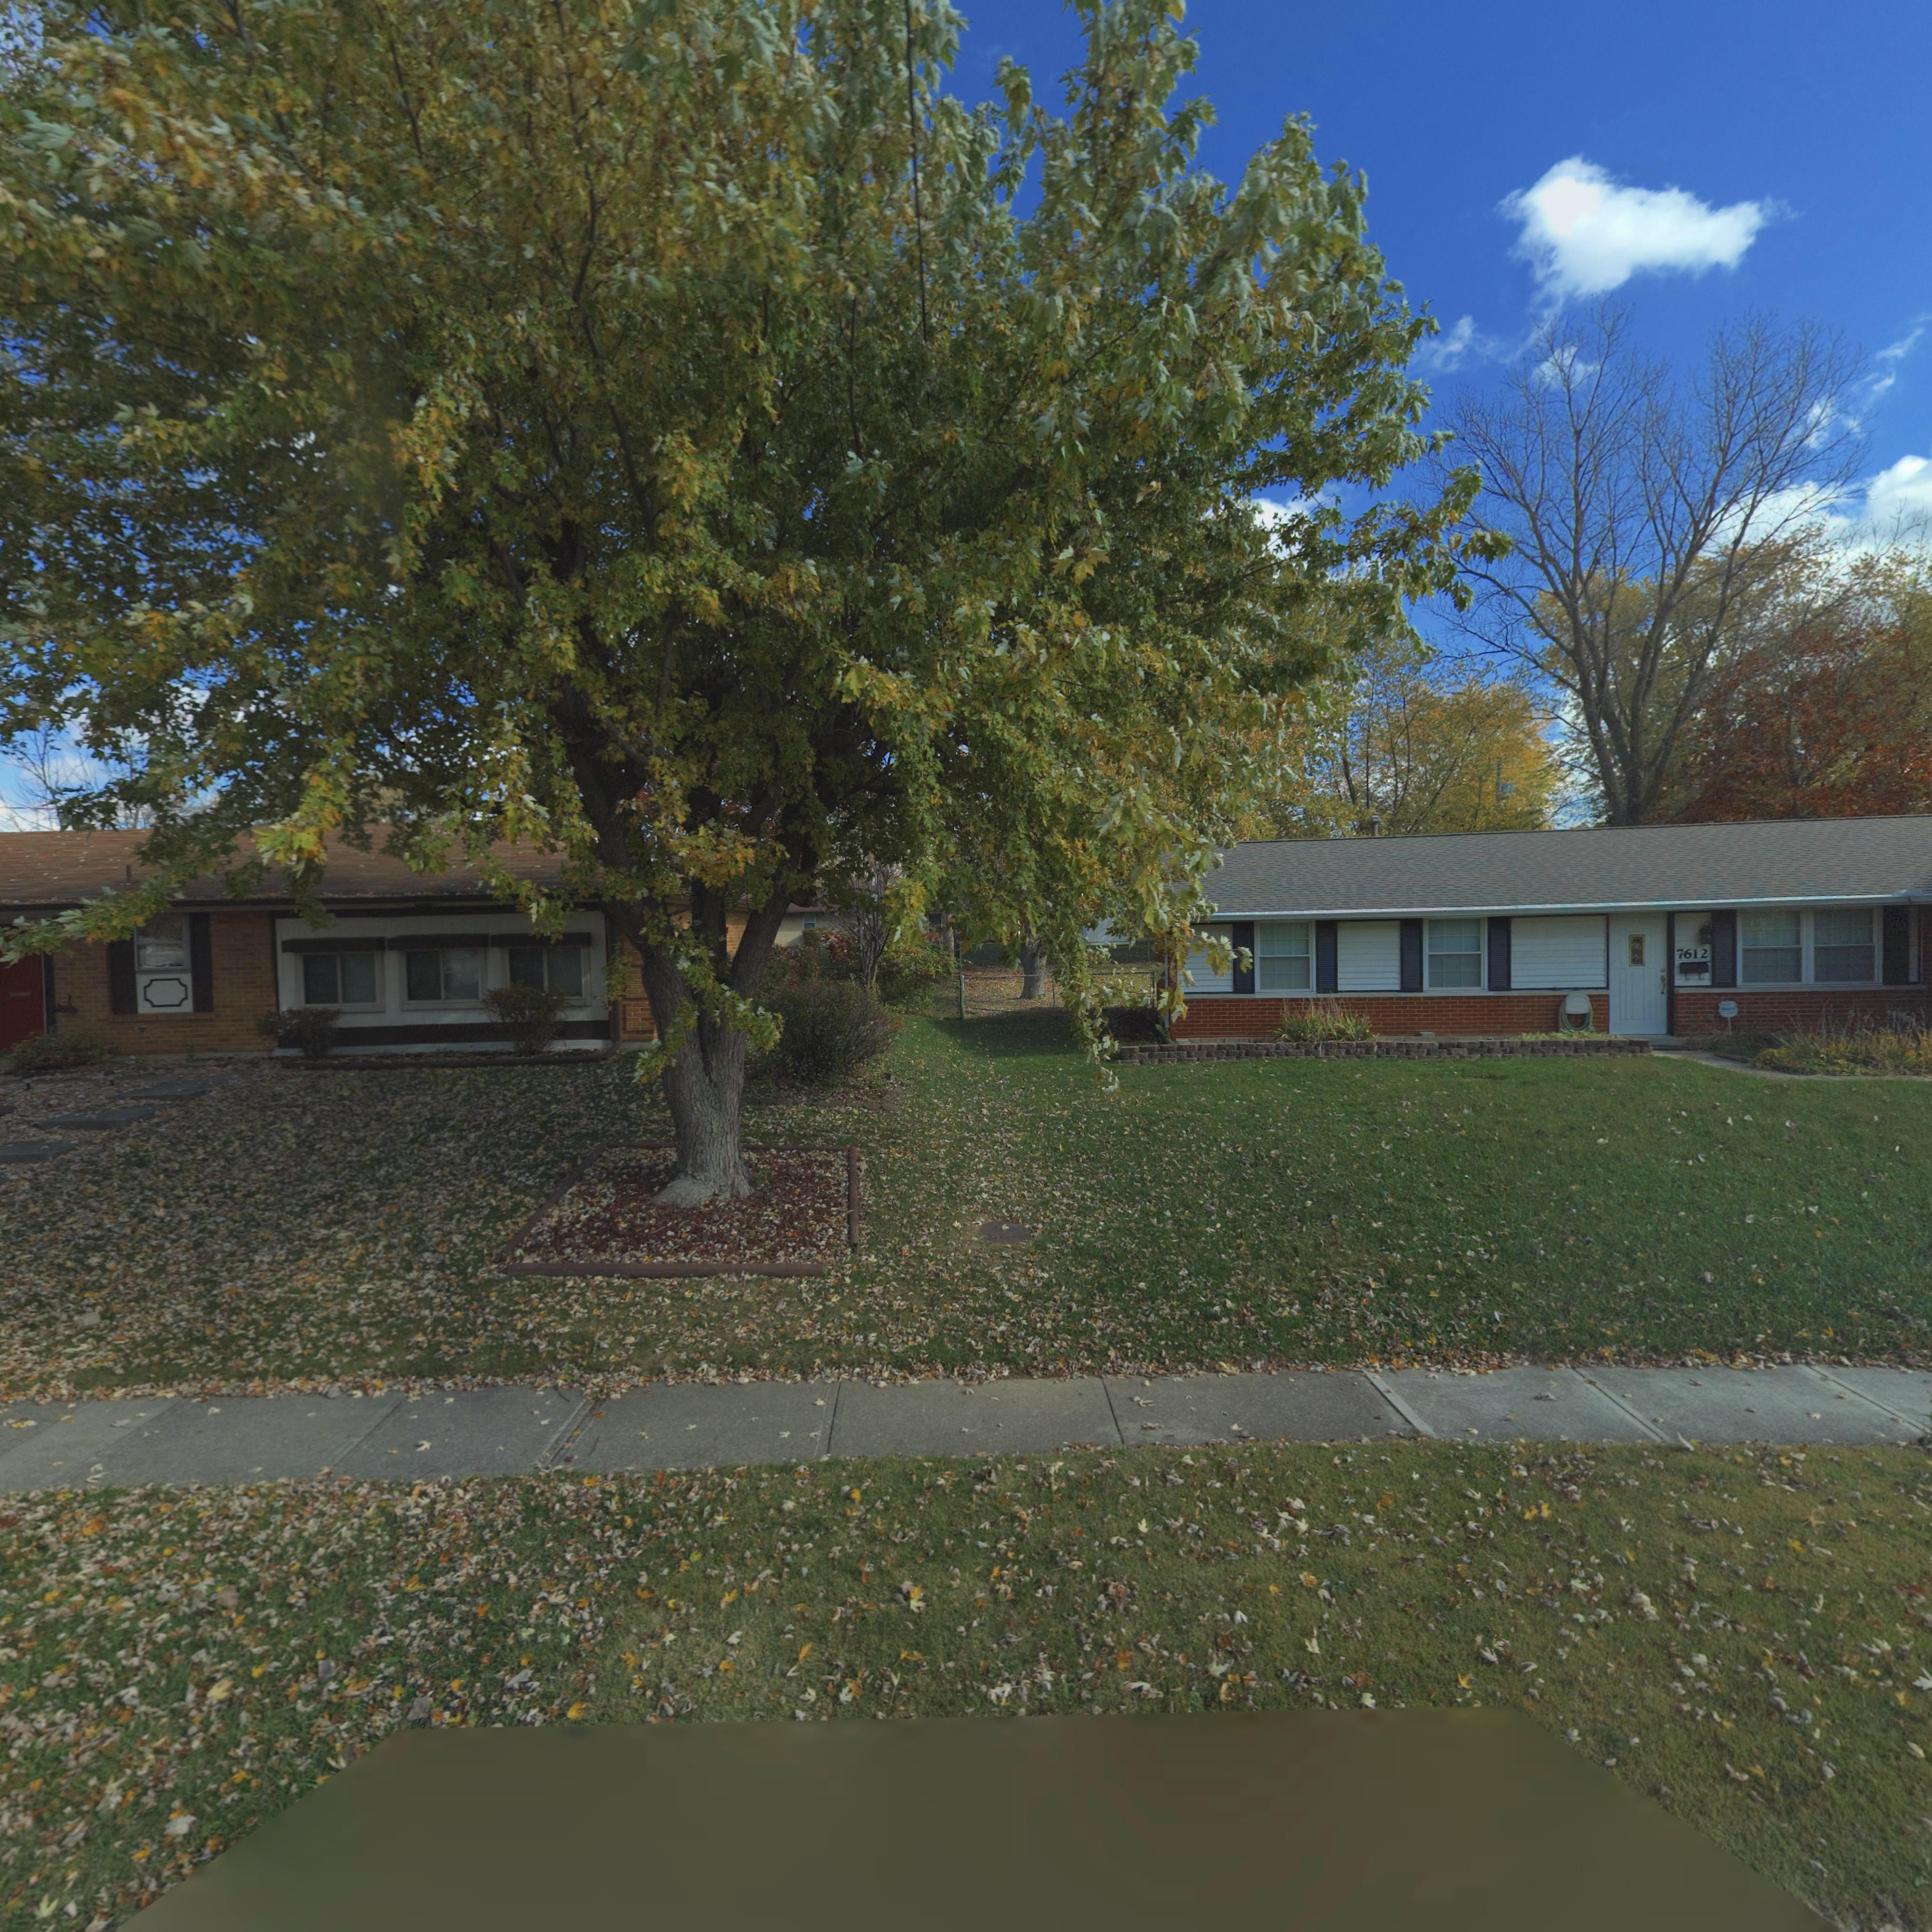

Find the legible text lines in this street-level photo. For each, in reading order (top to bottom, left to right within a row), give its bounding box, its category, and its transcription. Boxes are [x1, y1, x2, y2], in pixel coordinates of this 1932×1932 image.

[1676, 947, 1710, 961] StreetNumber: 7612